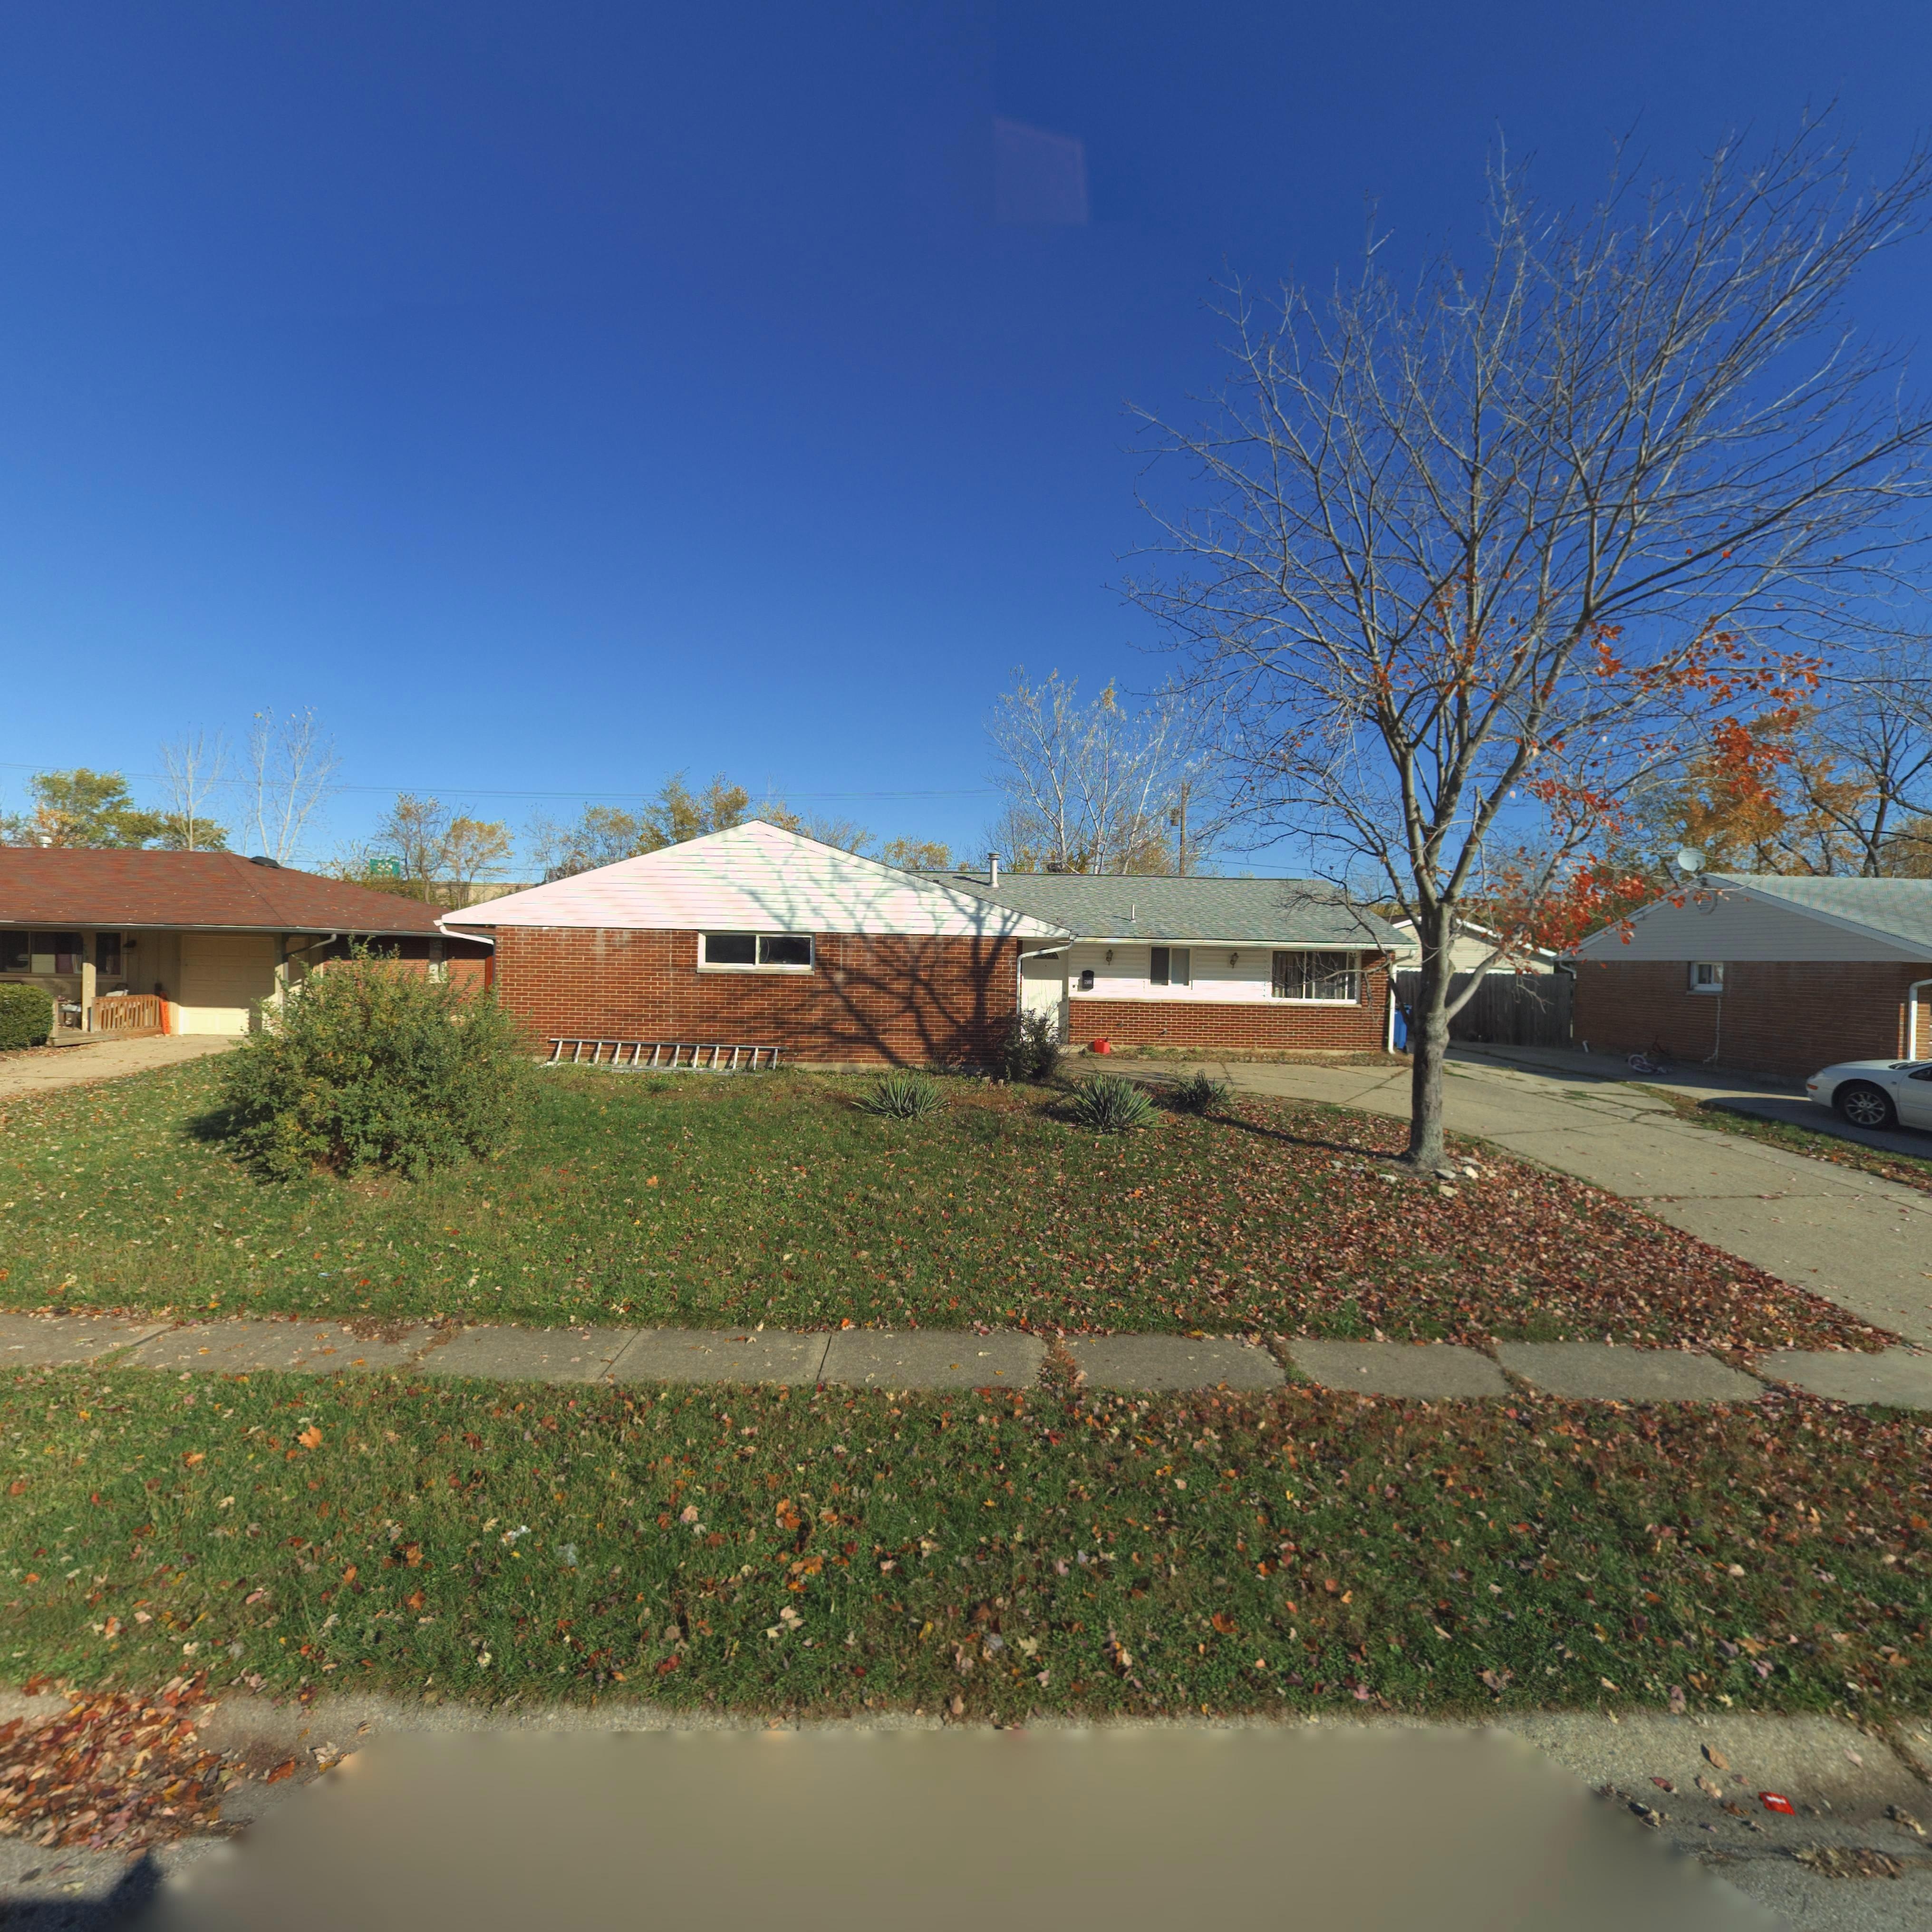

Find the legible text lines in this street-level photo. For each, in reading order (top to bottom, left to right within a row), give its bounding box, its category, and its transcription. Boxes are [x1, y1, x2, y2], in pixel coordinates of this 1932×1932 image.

[82, 943, 91, 968] StreetNumber: 7987
[1084, 979, 1092, 985] StreetNumber: 79**